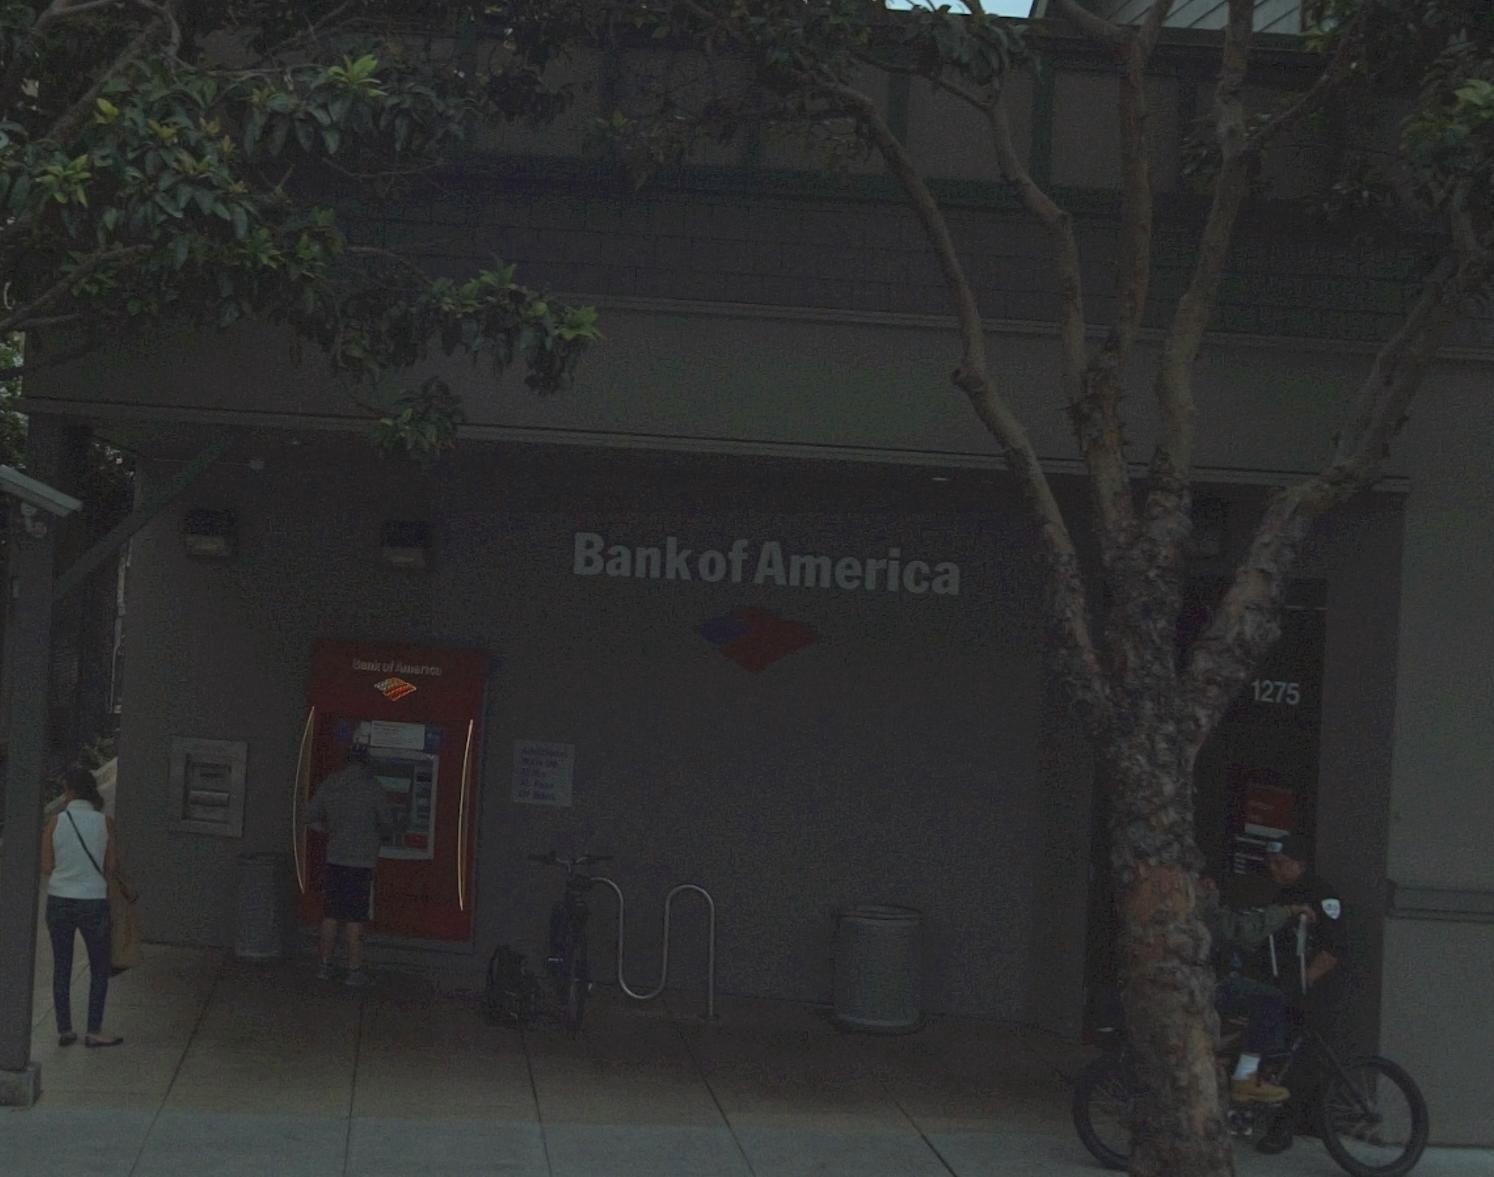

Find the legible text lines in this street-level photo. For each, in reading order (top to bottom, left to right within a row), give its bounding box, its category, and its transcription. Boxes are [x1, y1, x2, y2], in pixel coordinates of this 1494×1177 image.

[571, 530, 964, 597] BusinessName: Bank of America
[351, 655, 446, 678] BusinessName: Bank of America
[1248, 676, 1302, 709] StreetNumber: 1275